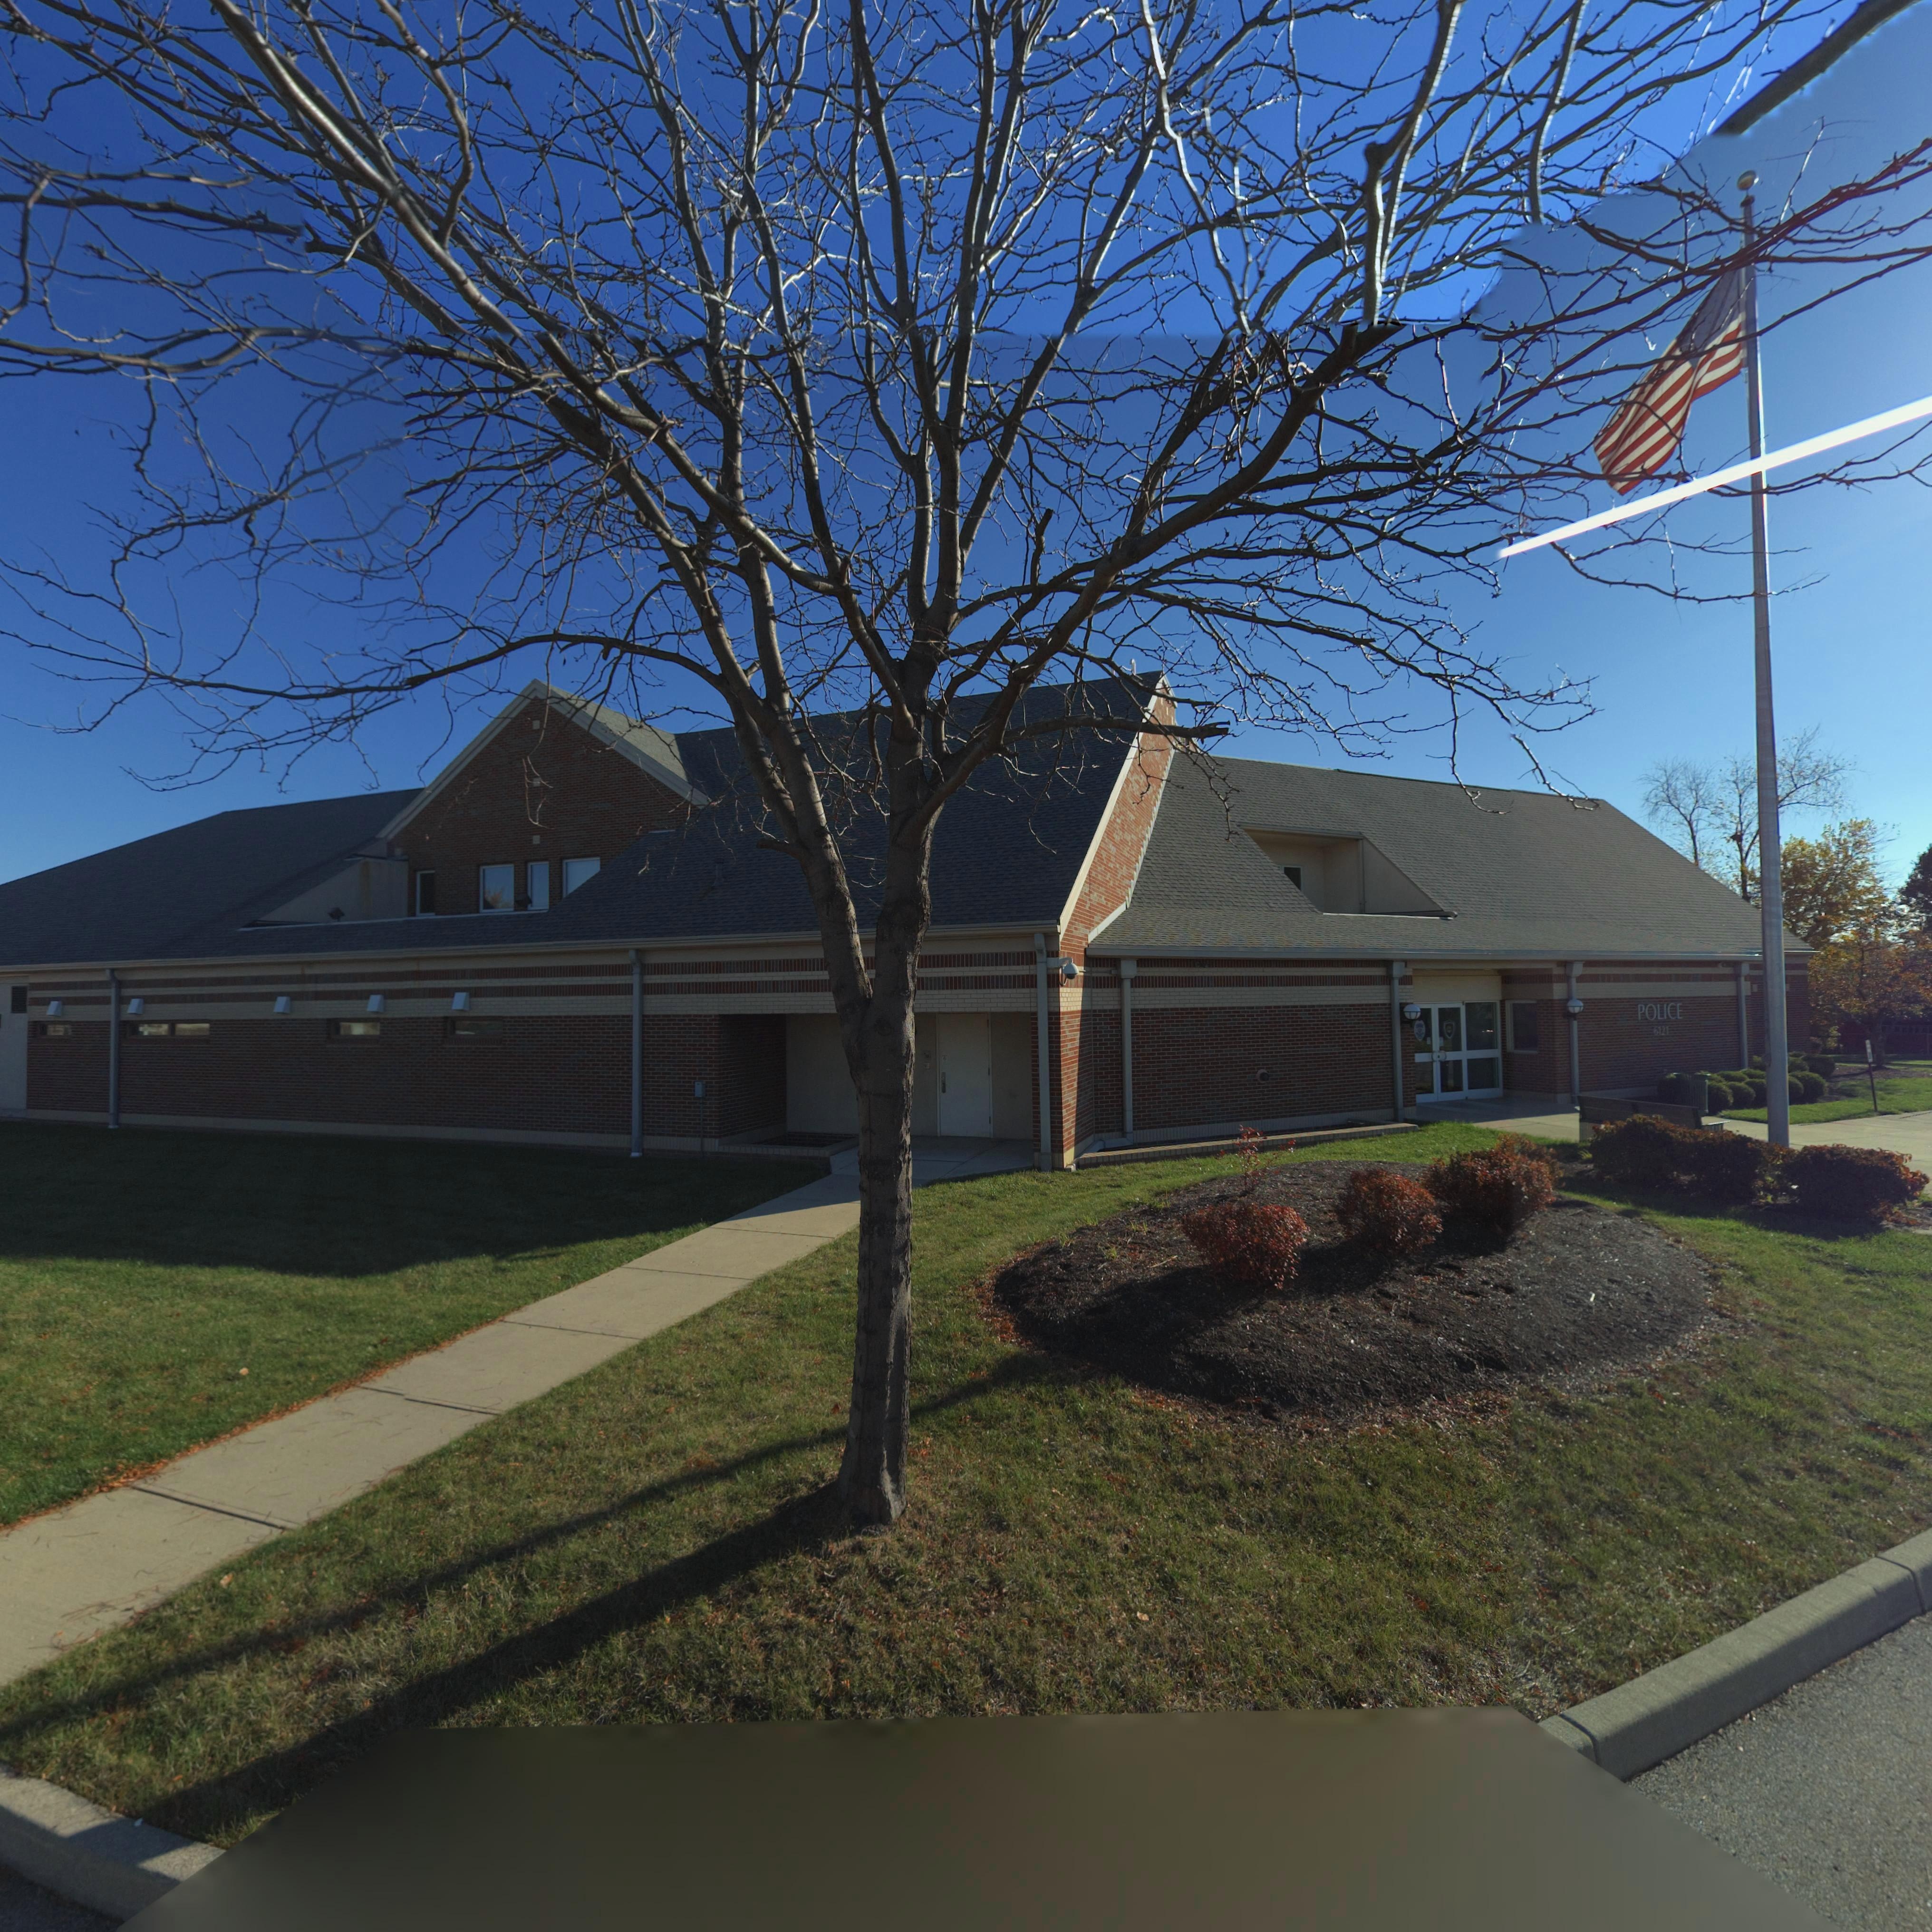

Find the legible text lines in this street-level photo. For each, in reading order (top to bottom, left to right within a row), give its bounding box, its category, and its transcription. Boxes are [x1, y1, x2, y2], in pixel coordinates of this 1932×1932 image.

[1652, 1025, 1670, 1036] StreetNumber: 6121